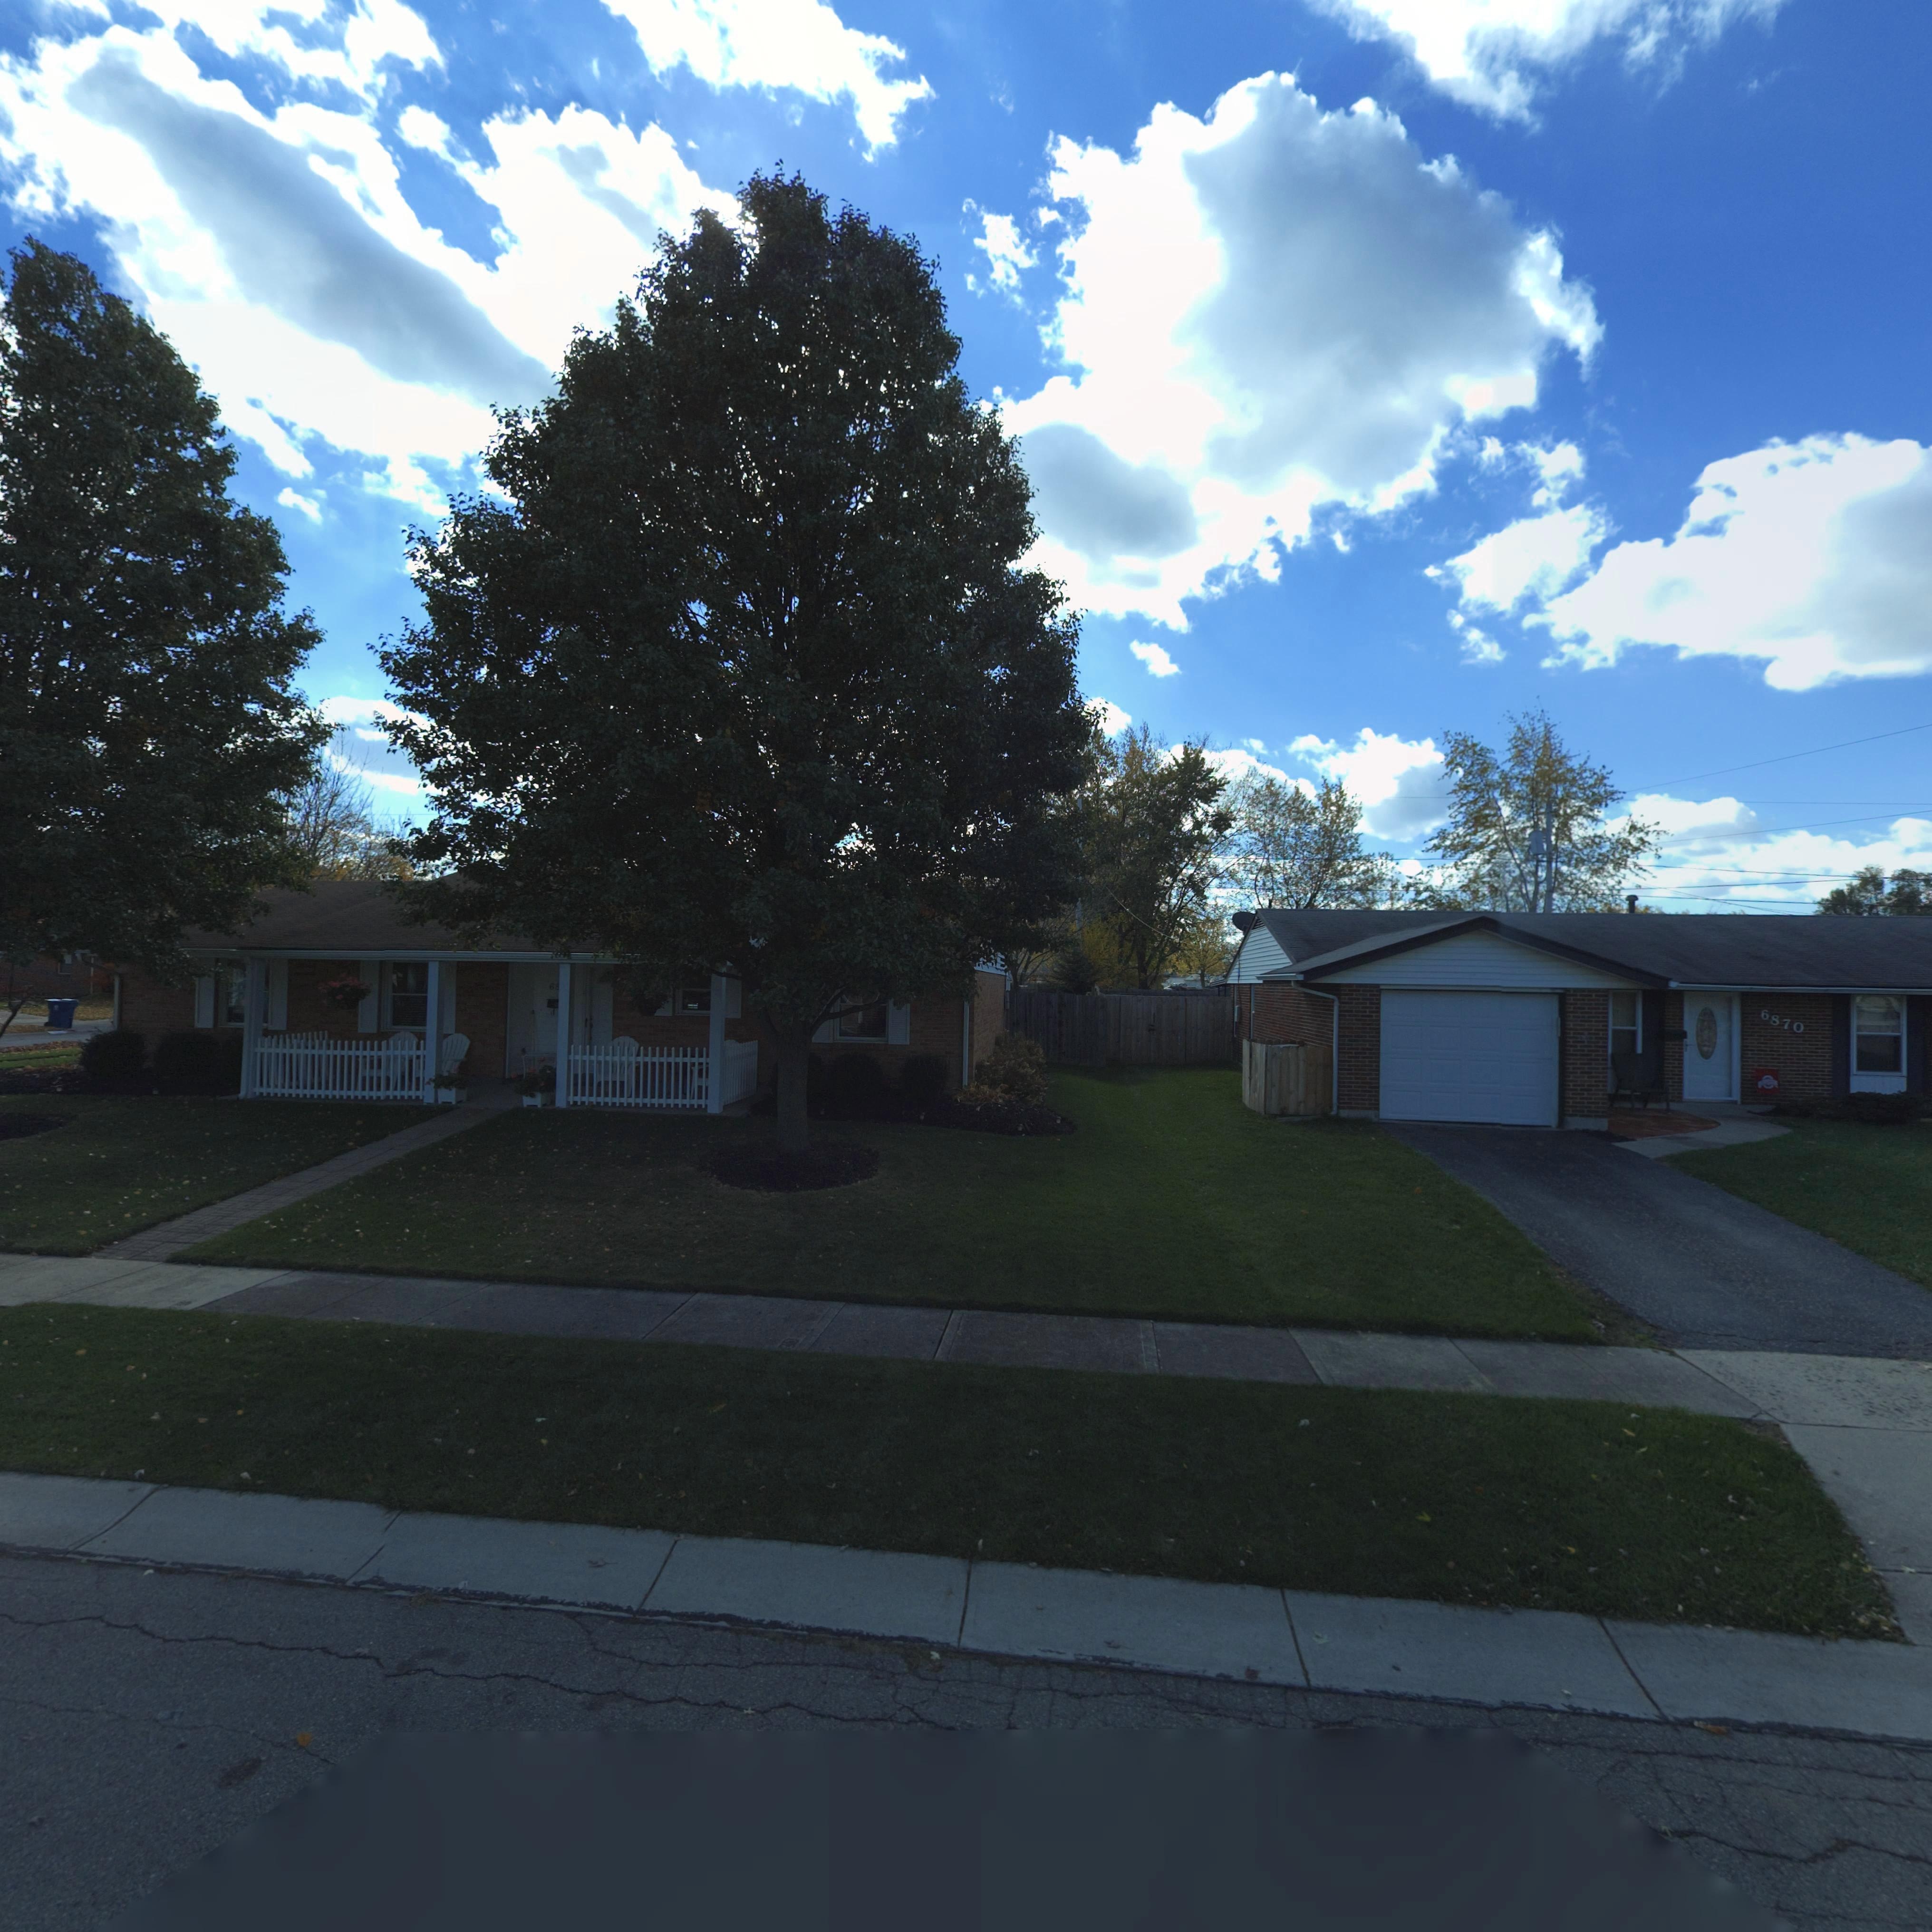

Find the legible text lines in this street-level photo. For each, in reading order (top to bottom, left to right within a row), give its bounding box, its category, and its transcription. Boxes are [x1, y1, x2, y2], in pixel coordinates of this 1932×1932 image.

[548, 983, 560, 991] StreetNumber: 68
[1760, 1008, 1805, 1034] StreetNumber: 6870